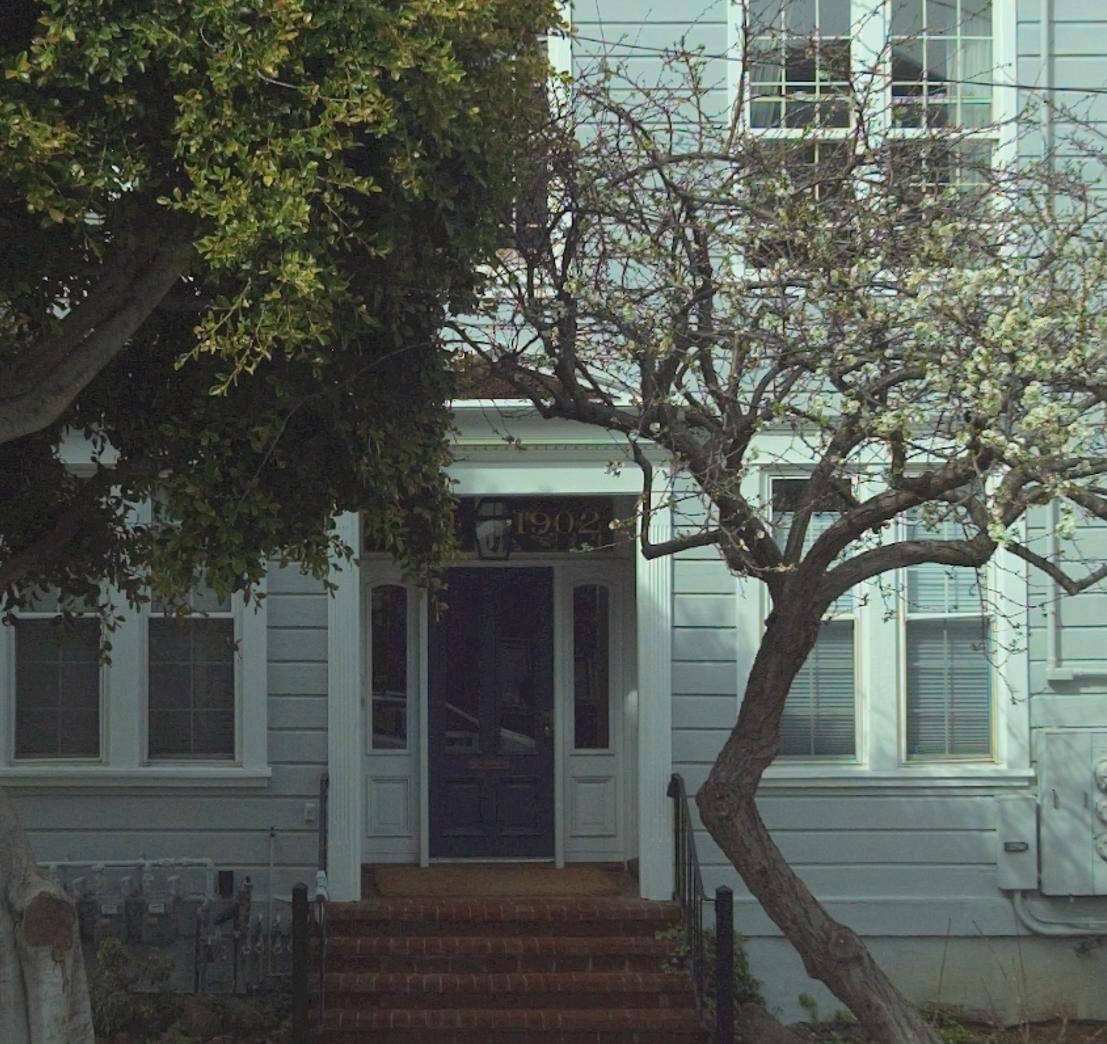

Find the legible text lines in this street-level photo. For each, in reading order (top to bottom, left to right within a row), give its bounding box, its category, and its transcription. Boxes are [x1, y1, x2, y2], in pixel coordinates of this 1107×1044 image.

[513, 509, 604, 537] StreetNumber: 1902